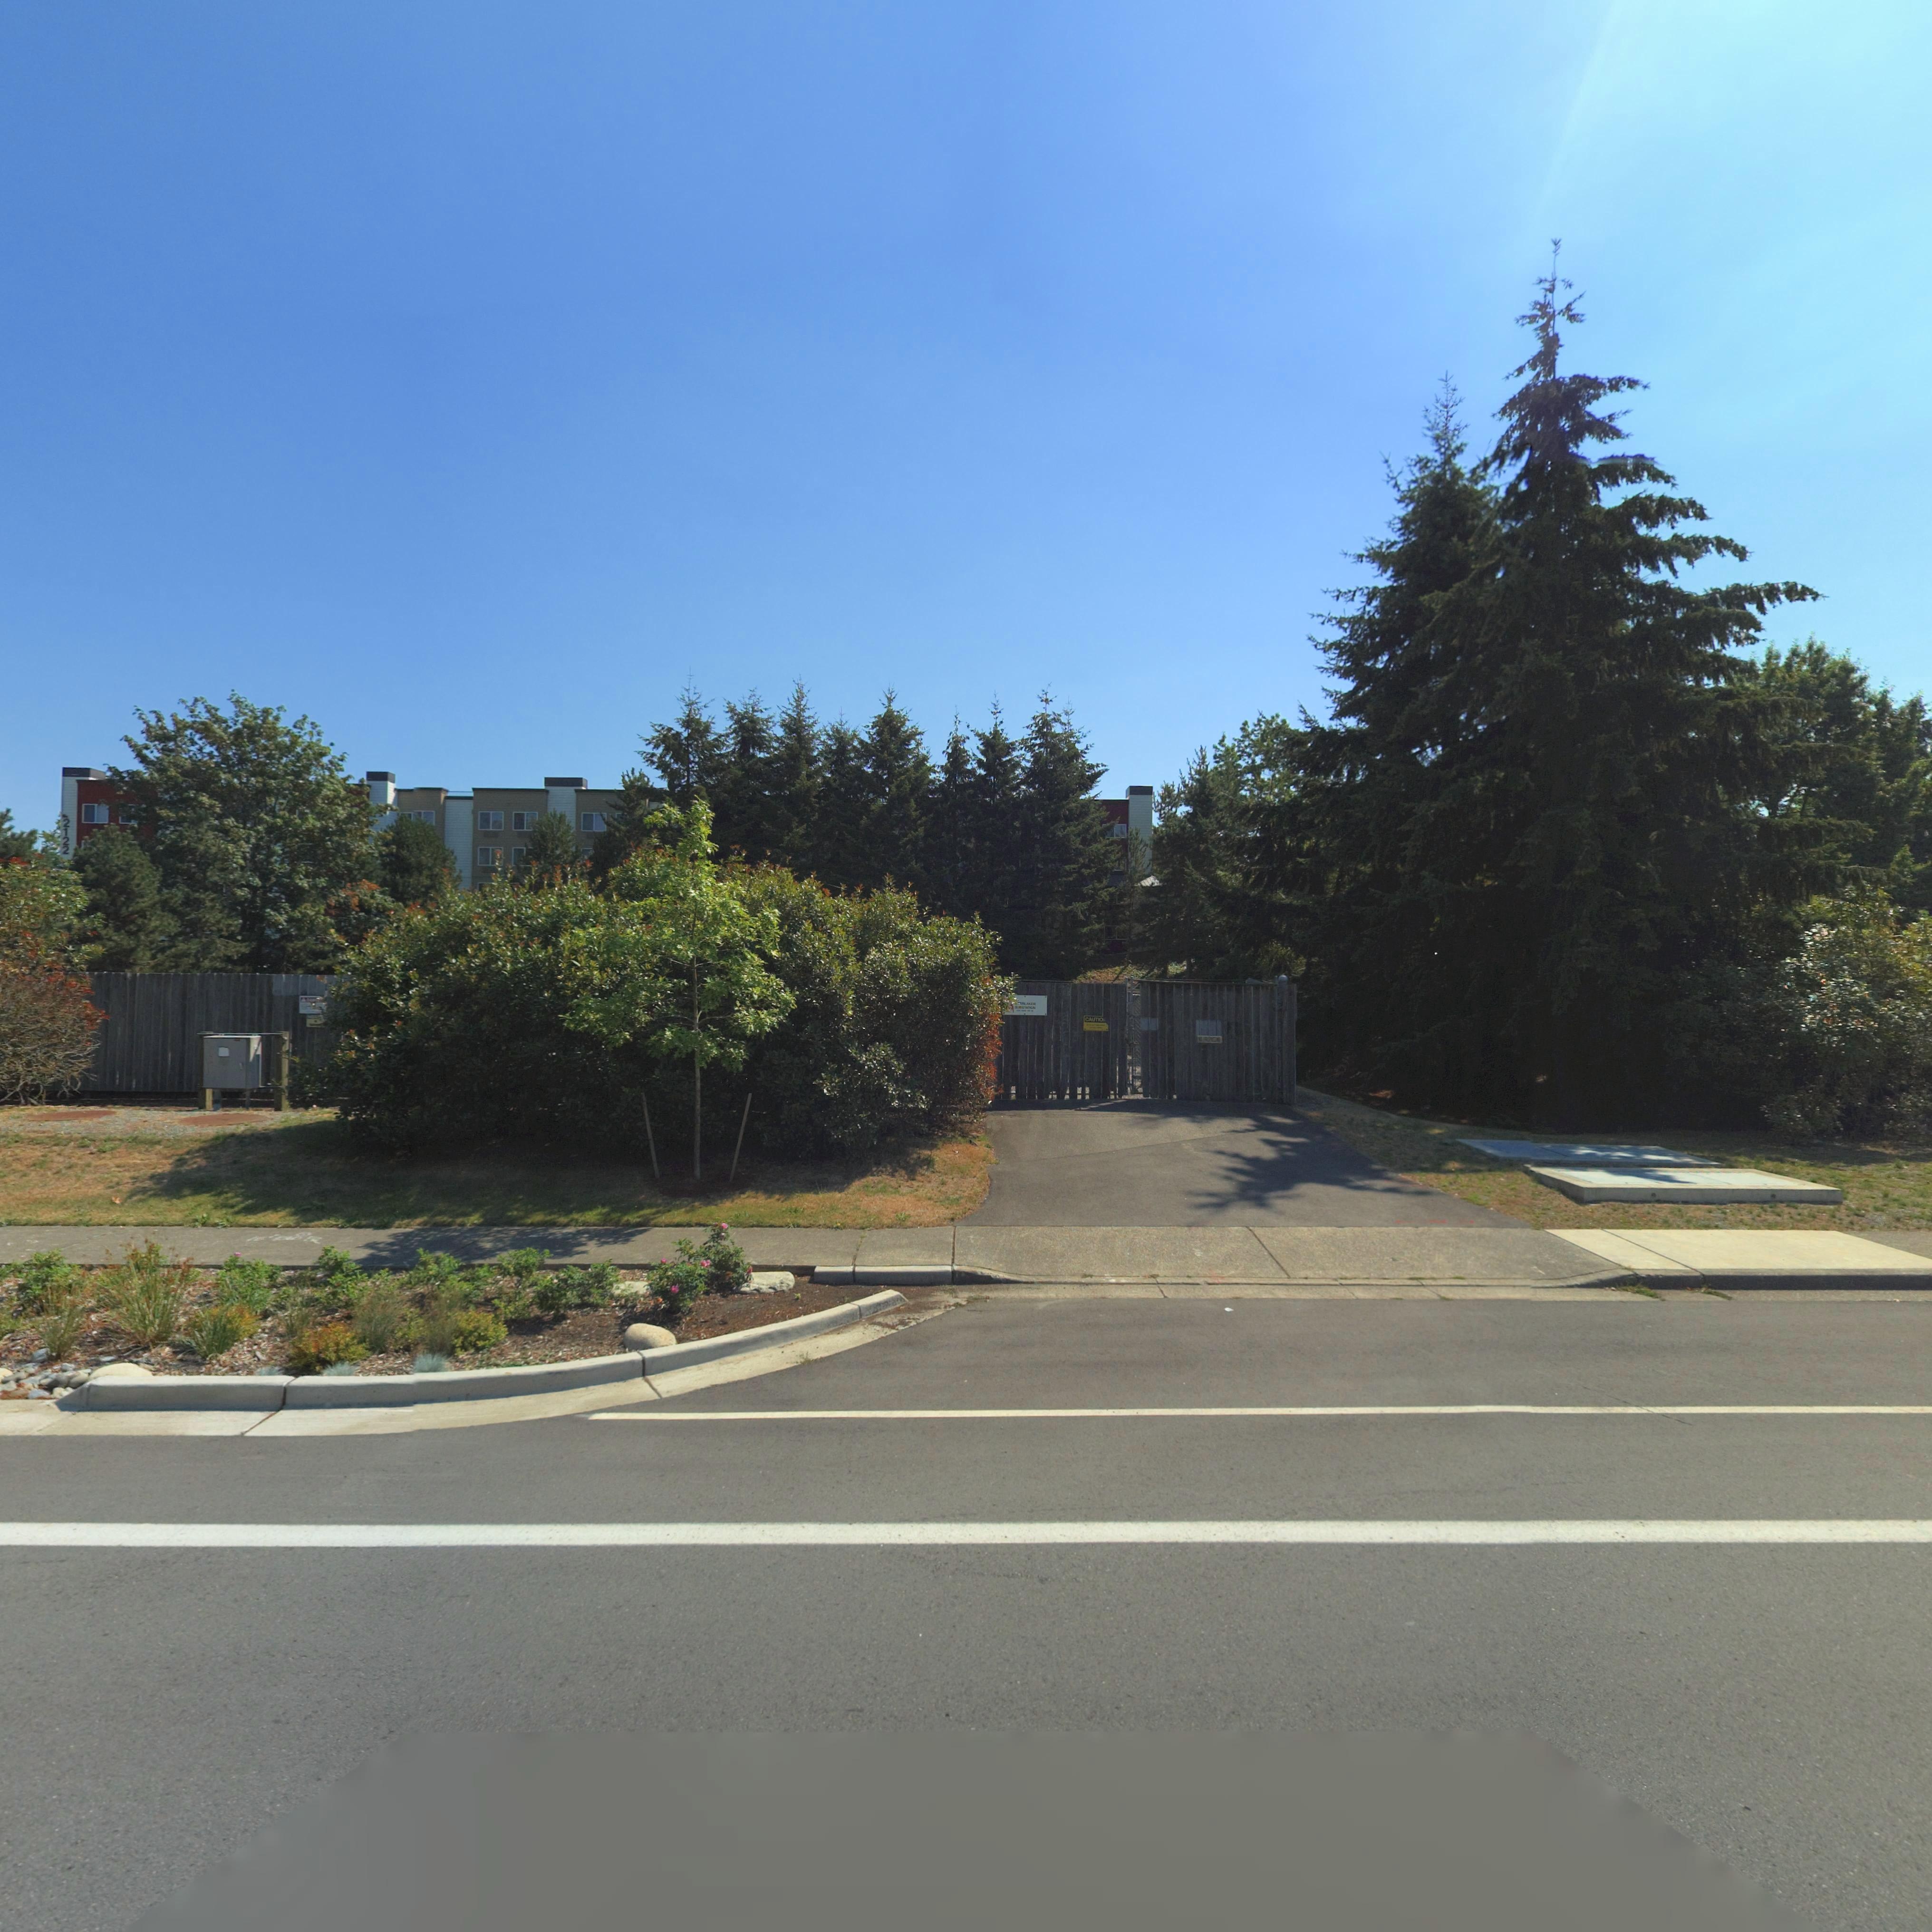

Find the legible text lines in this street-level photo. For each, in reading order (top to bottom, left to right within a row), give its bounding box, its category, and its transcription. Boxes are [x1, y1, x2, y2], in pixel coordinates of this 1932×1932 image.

[61, 817, 70, 854] StreetNumber: 2122